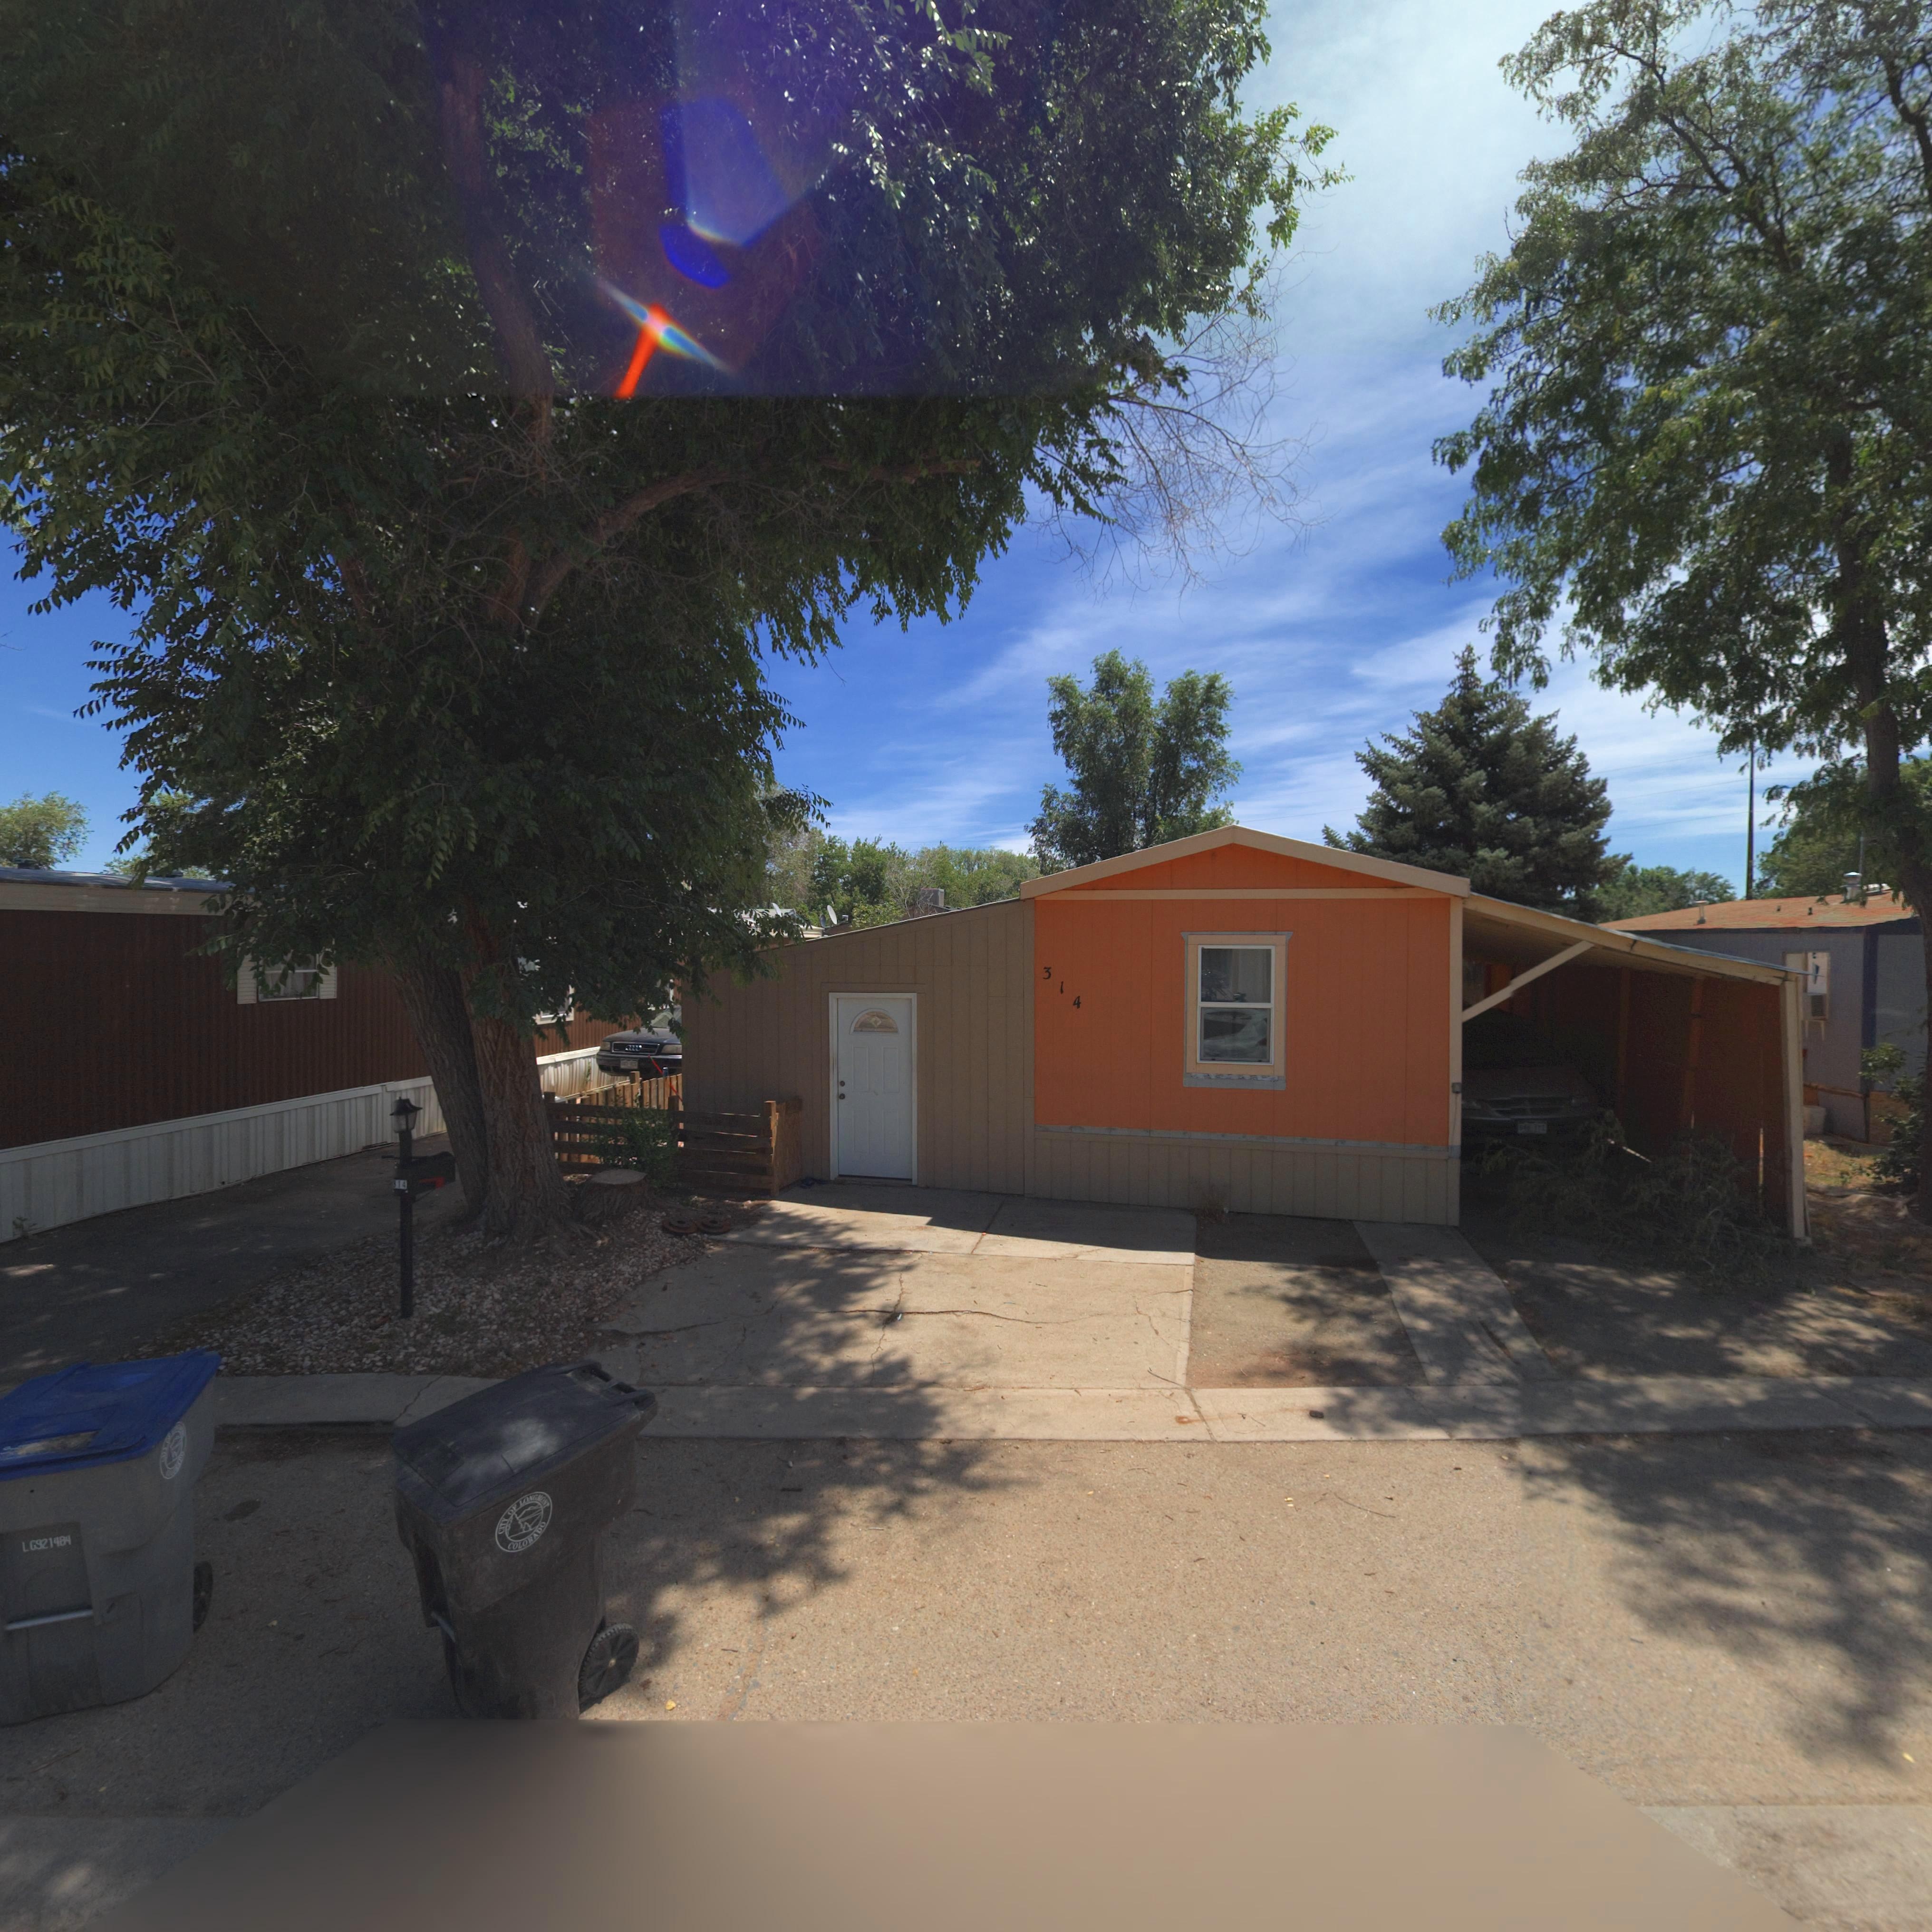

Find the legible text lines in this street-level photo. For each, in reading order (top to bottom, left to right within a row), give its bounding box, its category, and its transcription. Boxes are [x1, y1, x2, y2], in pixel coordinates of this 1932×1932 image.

[1042, 966, 1081, 1009] StreetNumber: 314
[393, 1179, 406, 1188] StreetNumber: 314